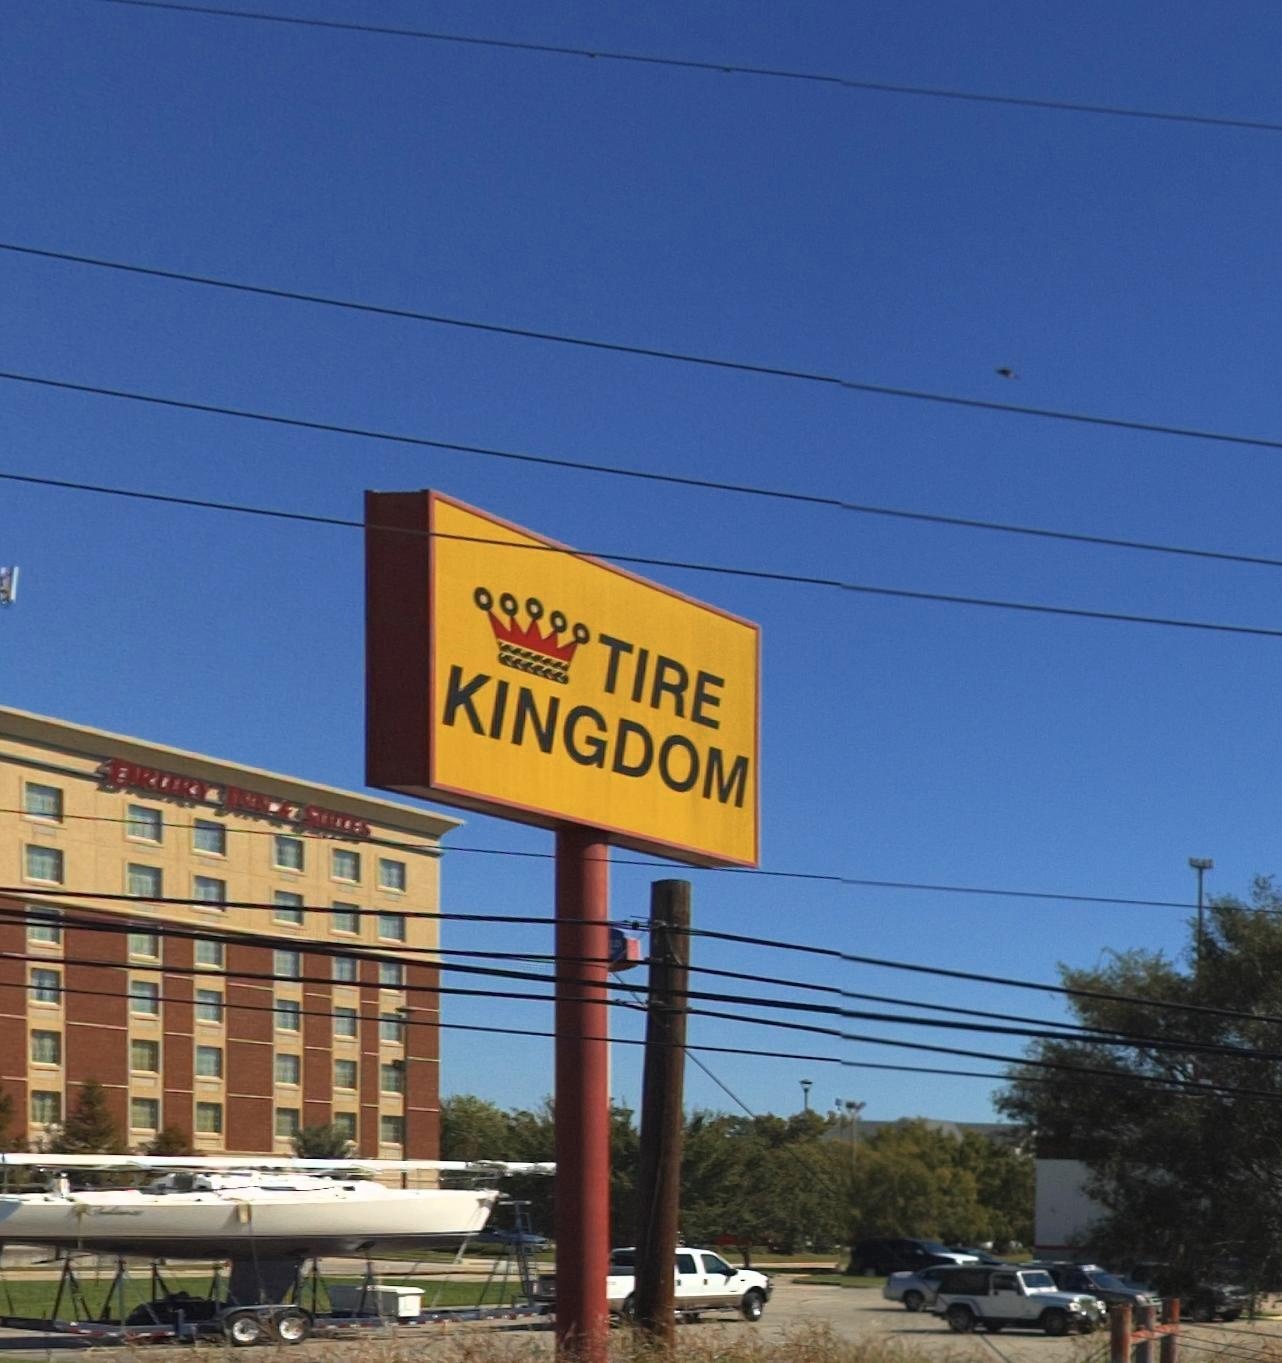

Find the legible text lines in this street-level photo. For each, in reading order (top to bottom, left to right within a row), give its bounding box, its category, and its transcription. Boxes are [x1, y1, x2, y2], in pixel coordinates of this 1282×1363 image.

[596, 629, 727, 735] BusinessName: TIRE
[438, 662, 753, 812] BusinessName: KINGDOM
[104, 754, 375, 840] BusinessName: DRURY INN & SUITES